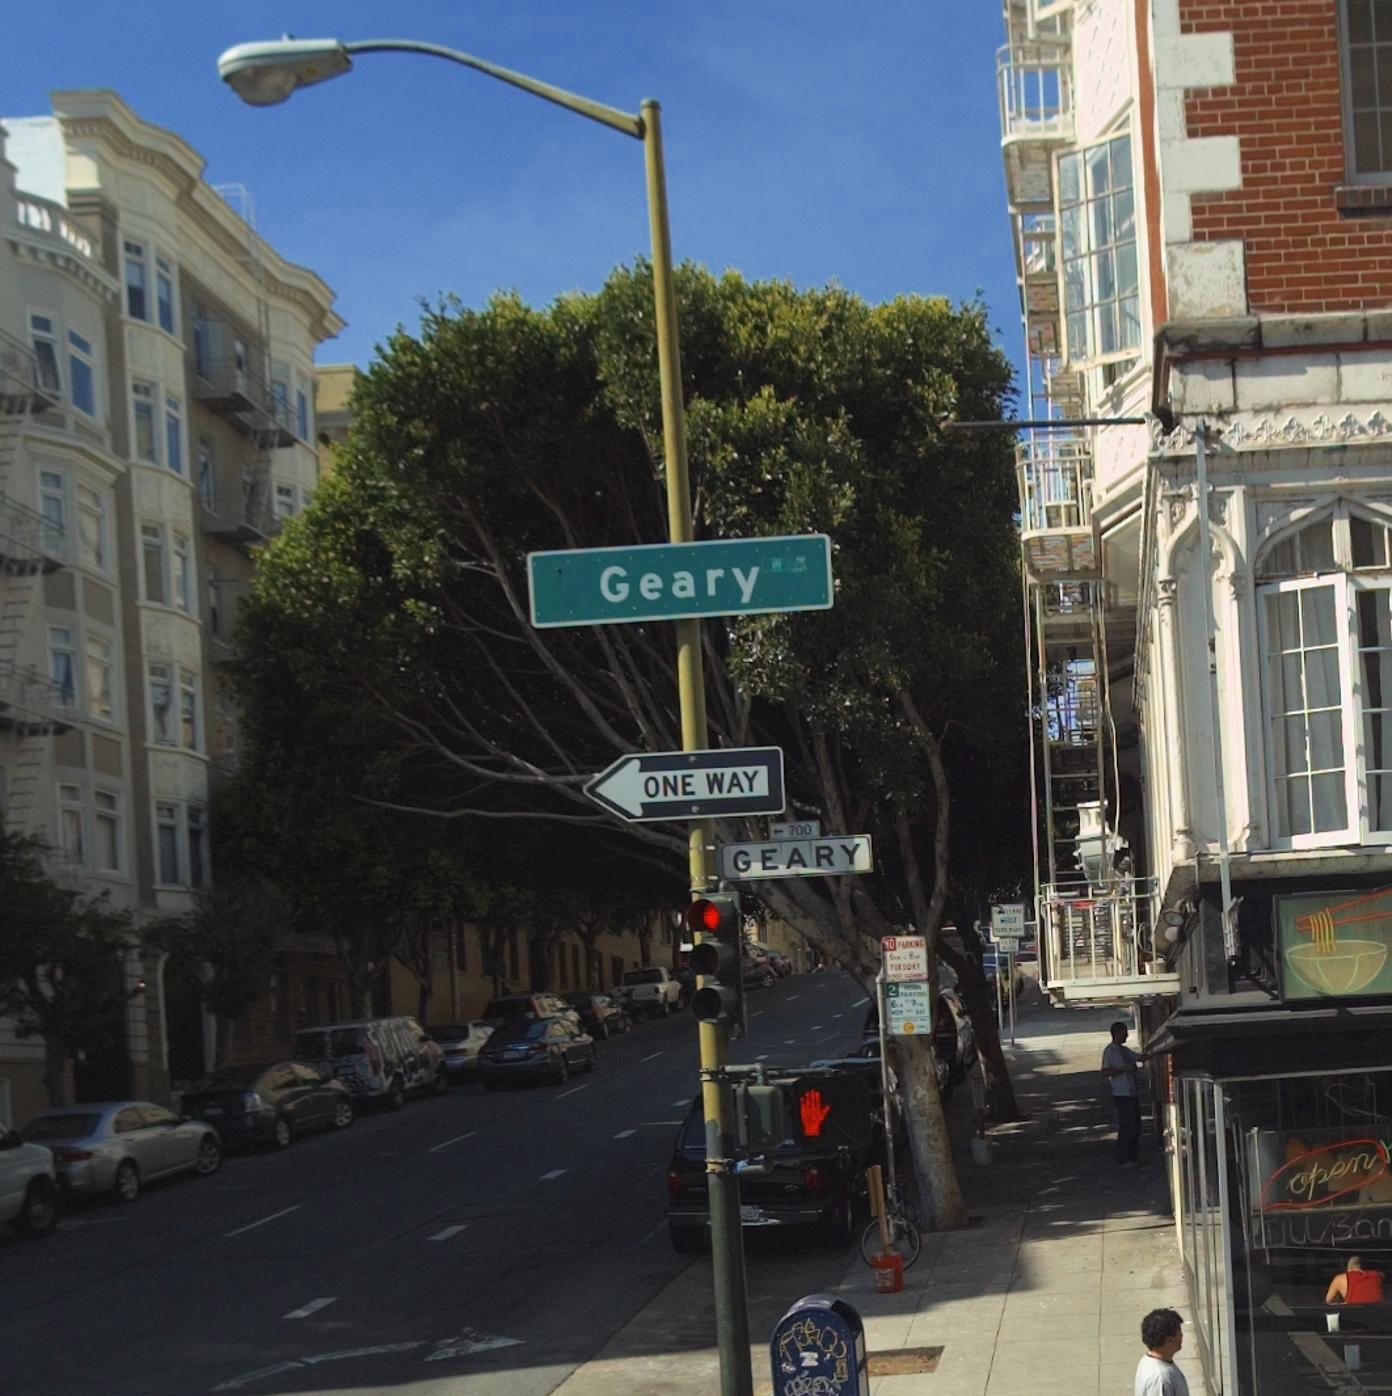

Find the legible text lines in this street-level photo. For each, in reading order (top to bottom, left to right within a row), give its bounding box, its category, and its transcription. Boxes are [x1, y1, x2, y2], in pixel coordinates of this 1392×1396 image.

[594, 562, 766, 607] StreetName: Geary
[640, 766, 762, 802] None: ONE WAY
[770, 822, 814, 838] StreetNumberRange: <-700
[731, 840, 864, 876] StreetName: GEARY
[887, 935, 898, 953] None: 0
[885, 983, 899, 999] None: 2
[908, 997, 919, 1009] None: 9
[1286, 1149, 1380, 1204] None: open
[1325, 1209, 1380, 1249] None: Ba